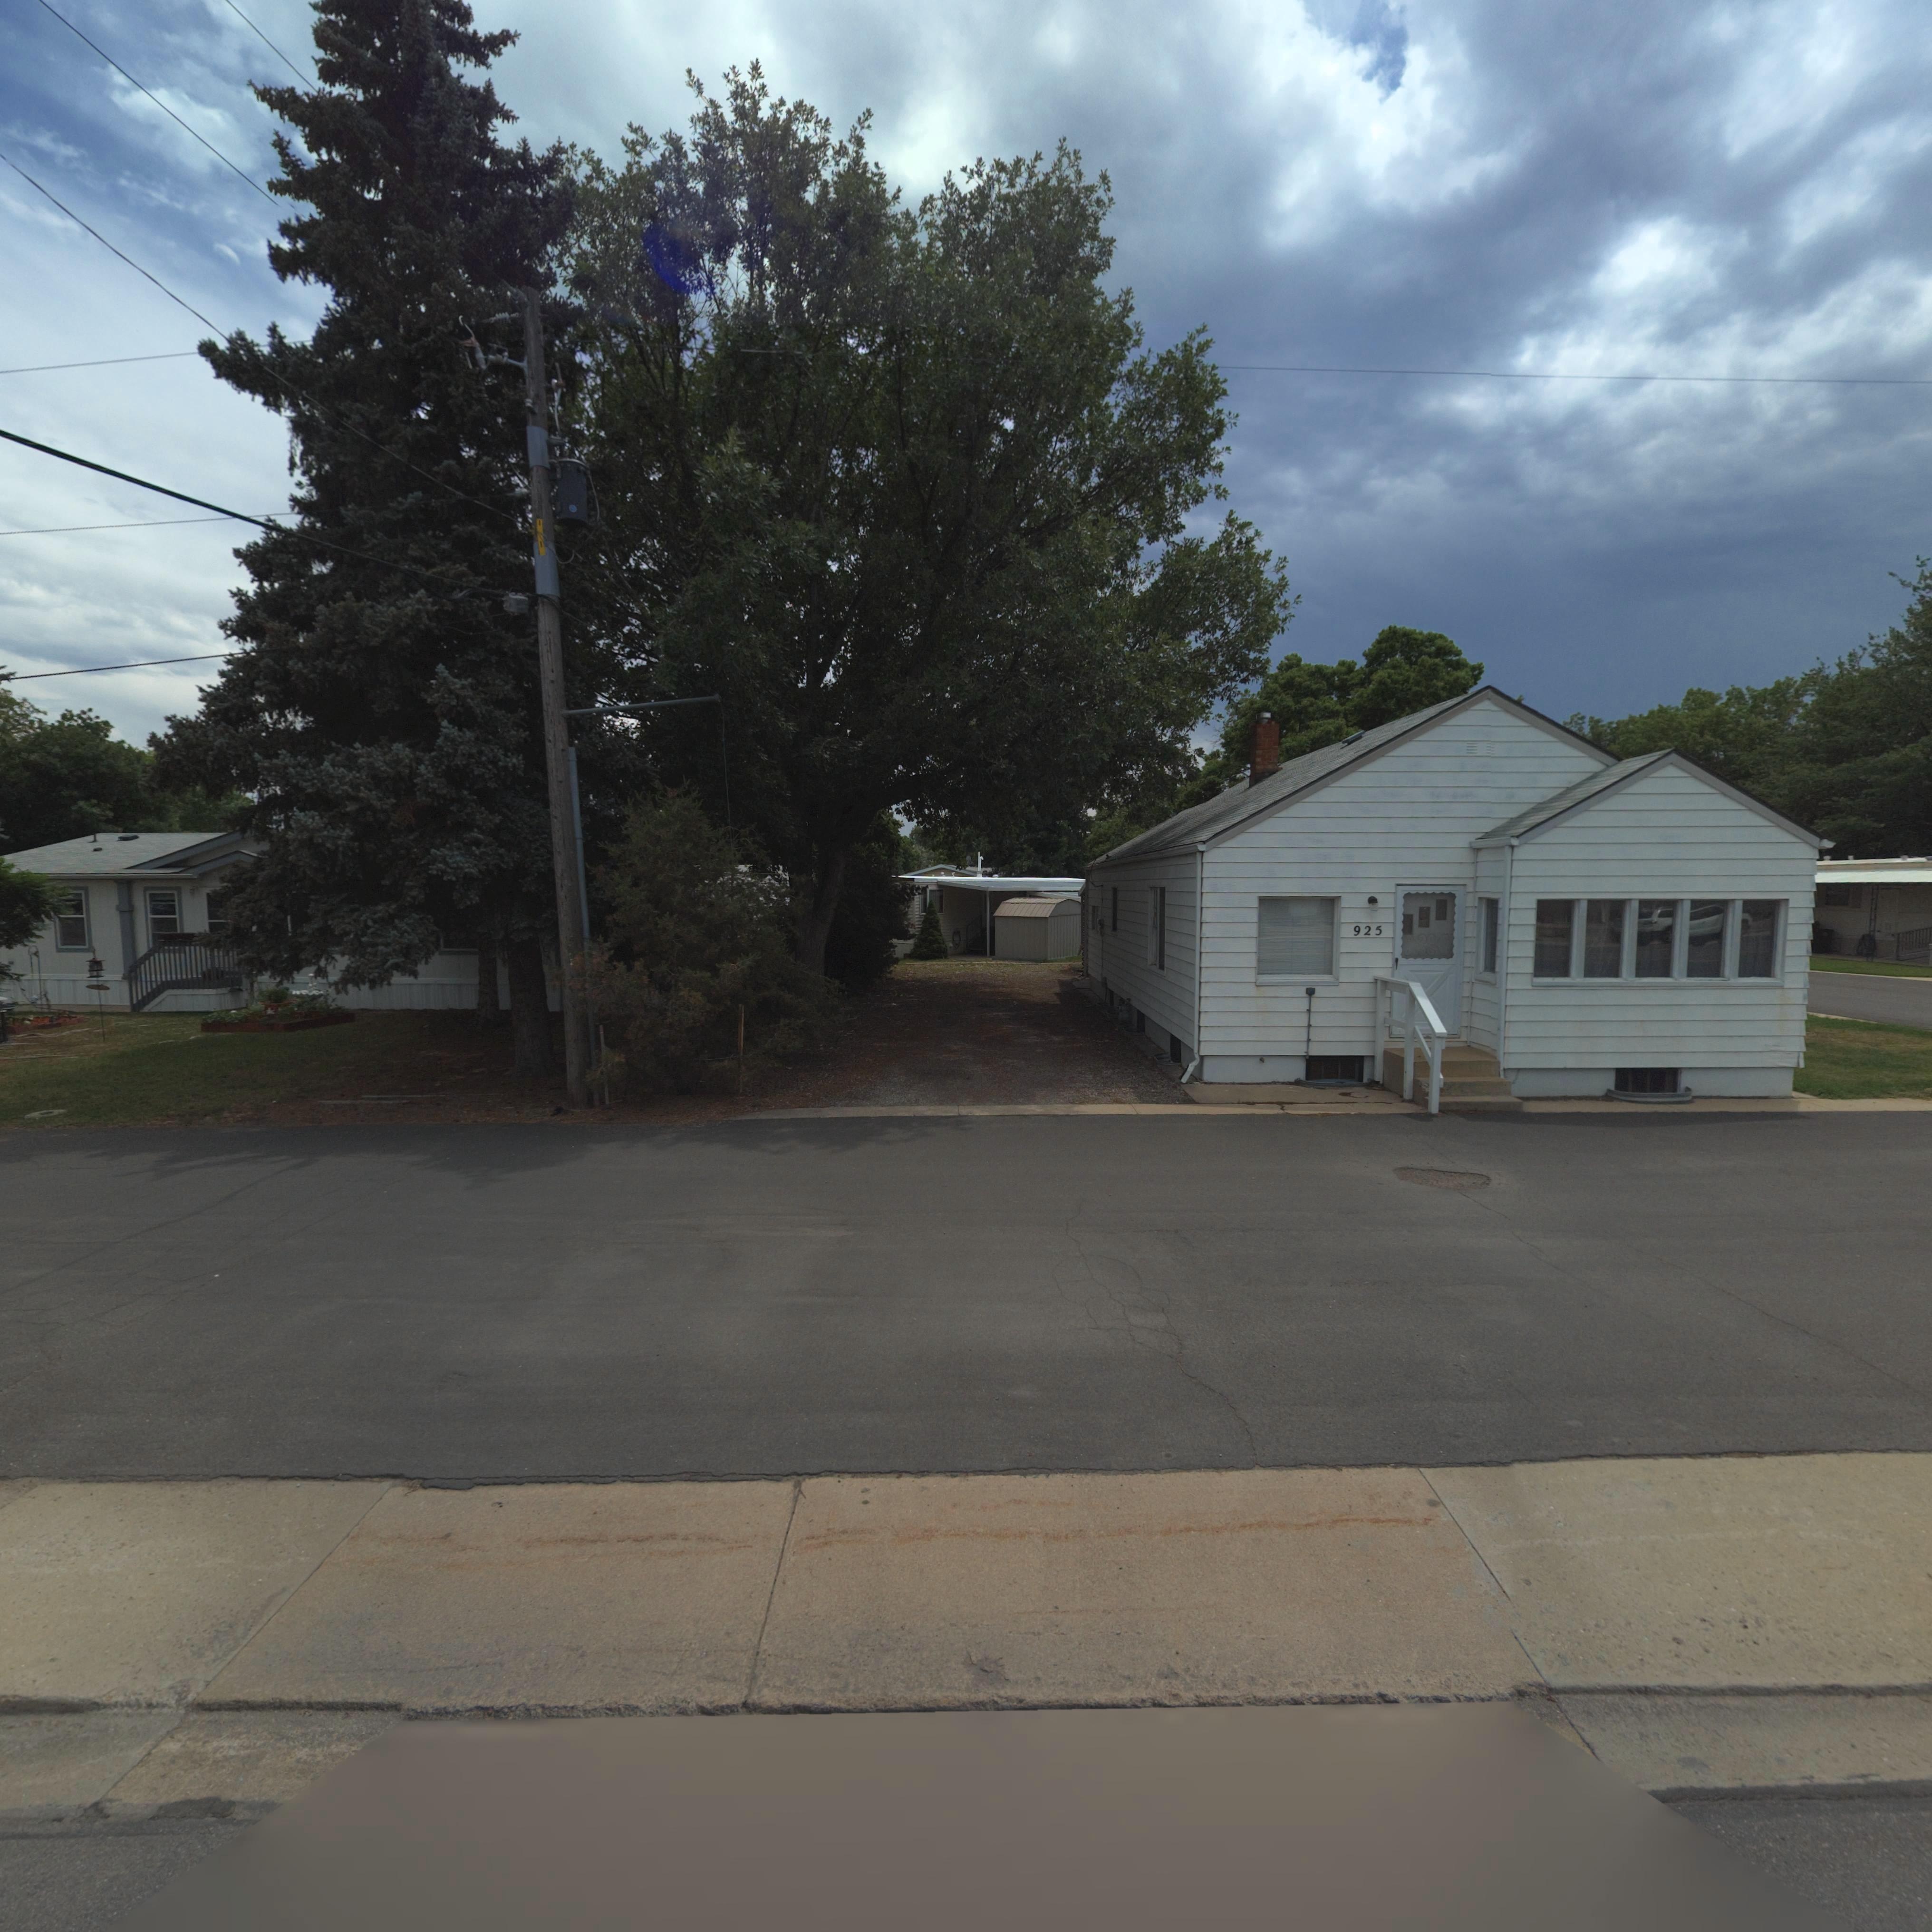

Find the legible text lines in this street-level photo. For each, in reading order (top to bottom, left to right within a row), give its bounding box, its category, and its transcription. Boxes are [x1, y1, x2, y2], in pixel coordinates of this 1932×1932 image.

[1352, 925, 1383, 937] StreetNumber: 925